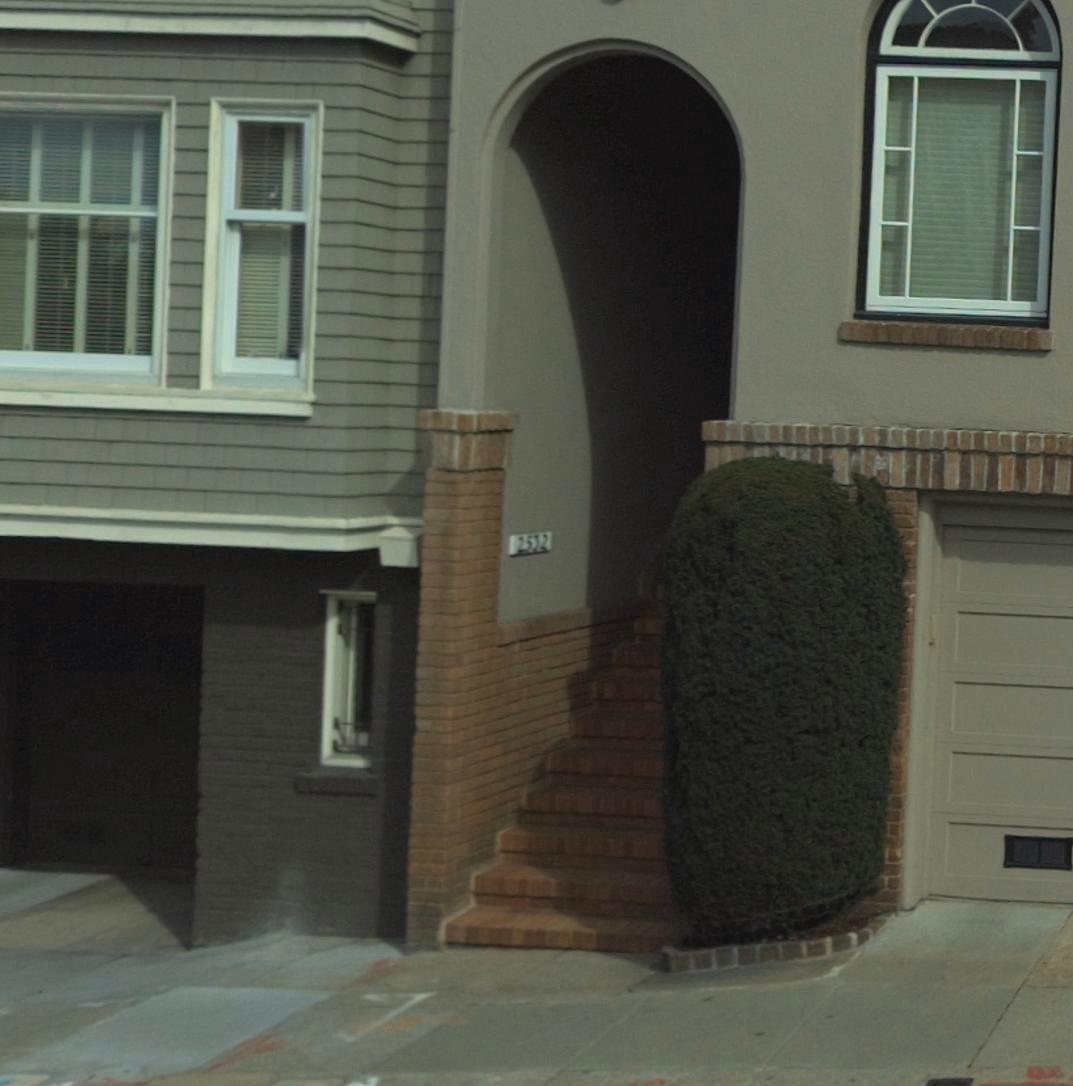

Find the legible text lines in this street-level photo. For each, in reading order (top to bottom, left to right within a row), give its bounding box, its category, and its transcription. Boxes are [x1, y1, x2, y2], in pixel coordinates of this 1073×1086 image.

[514, 530, 550, 557] StreetNumber: 25*2